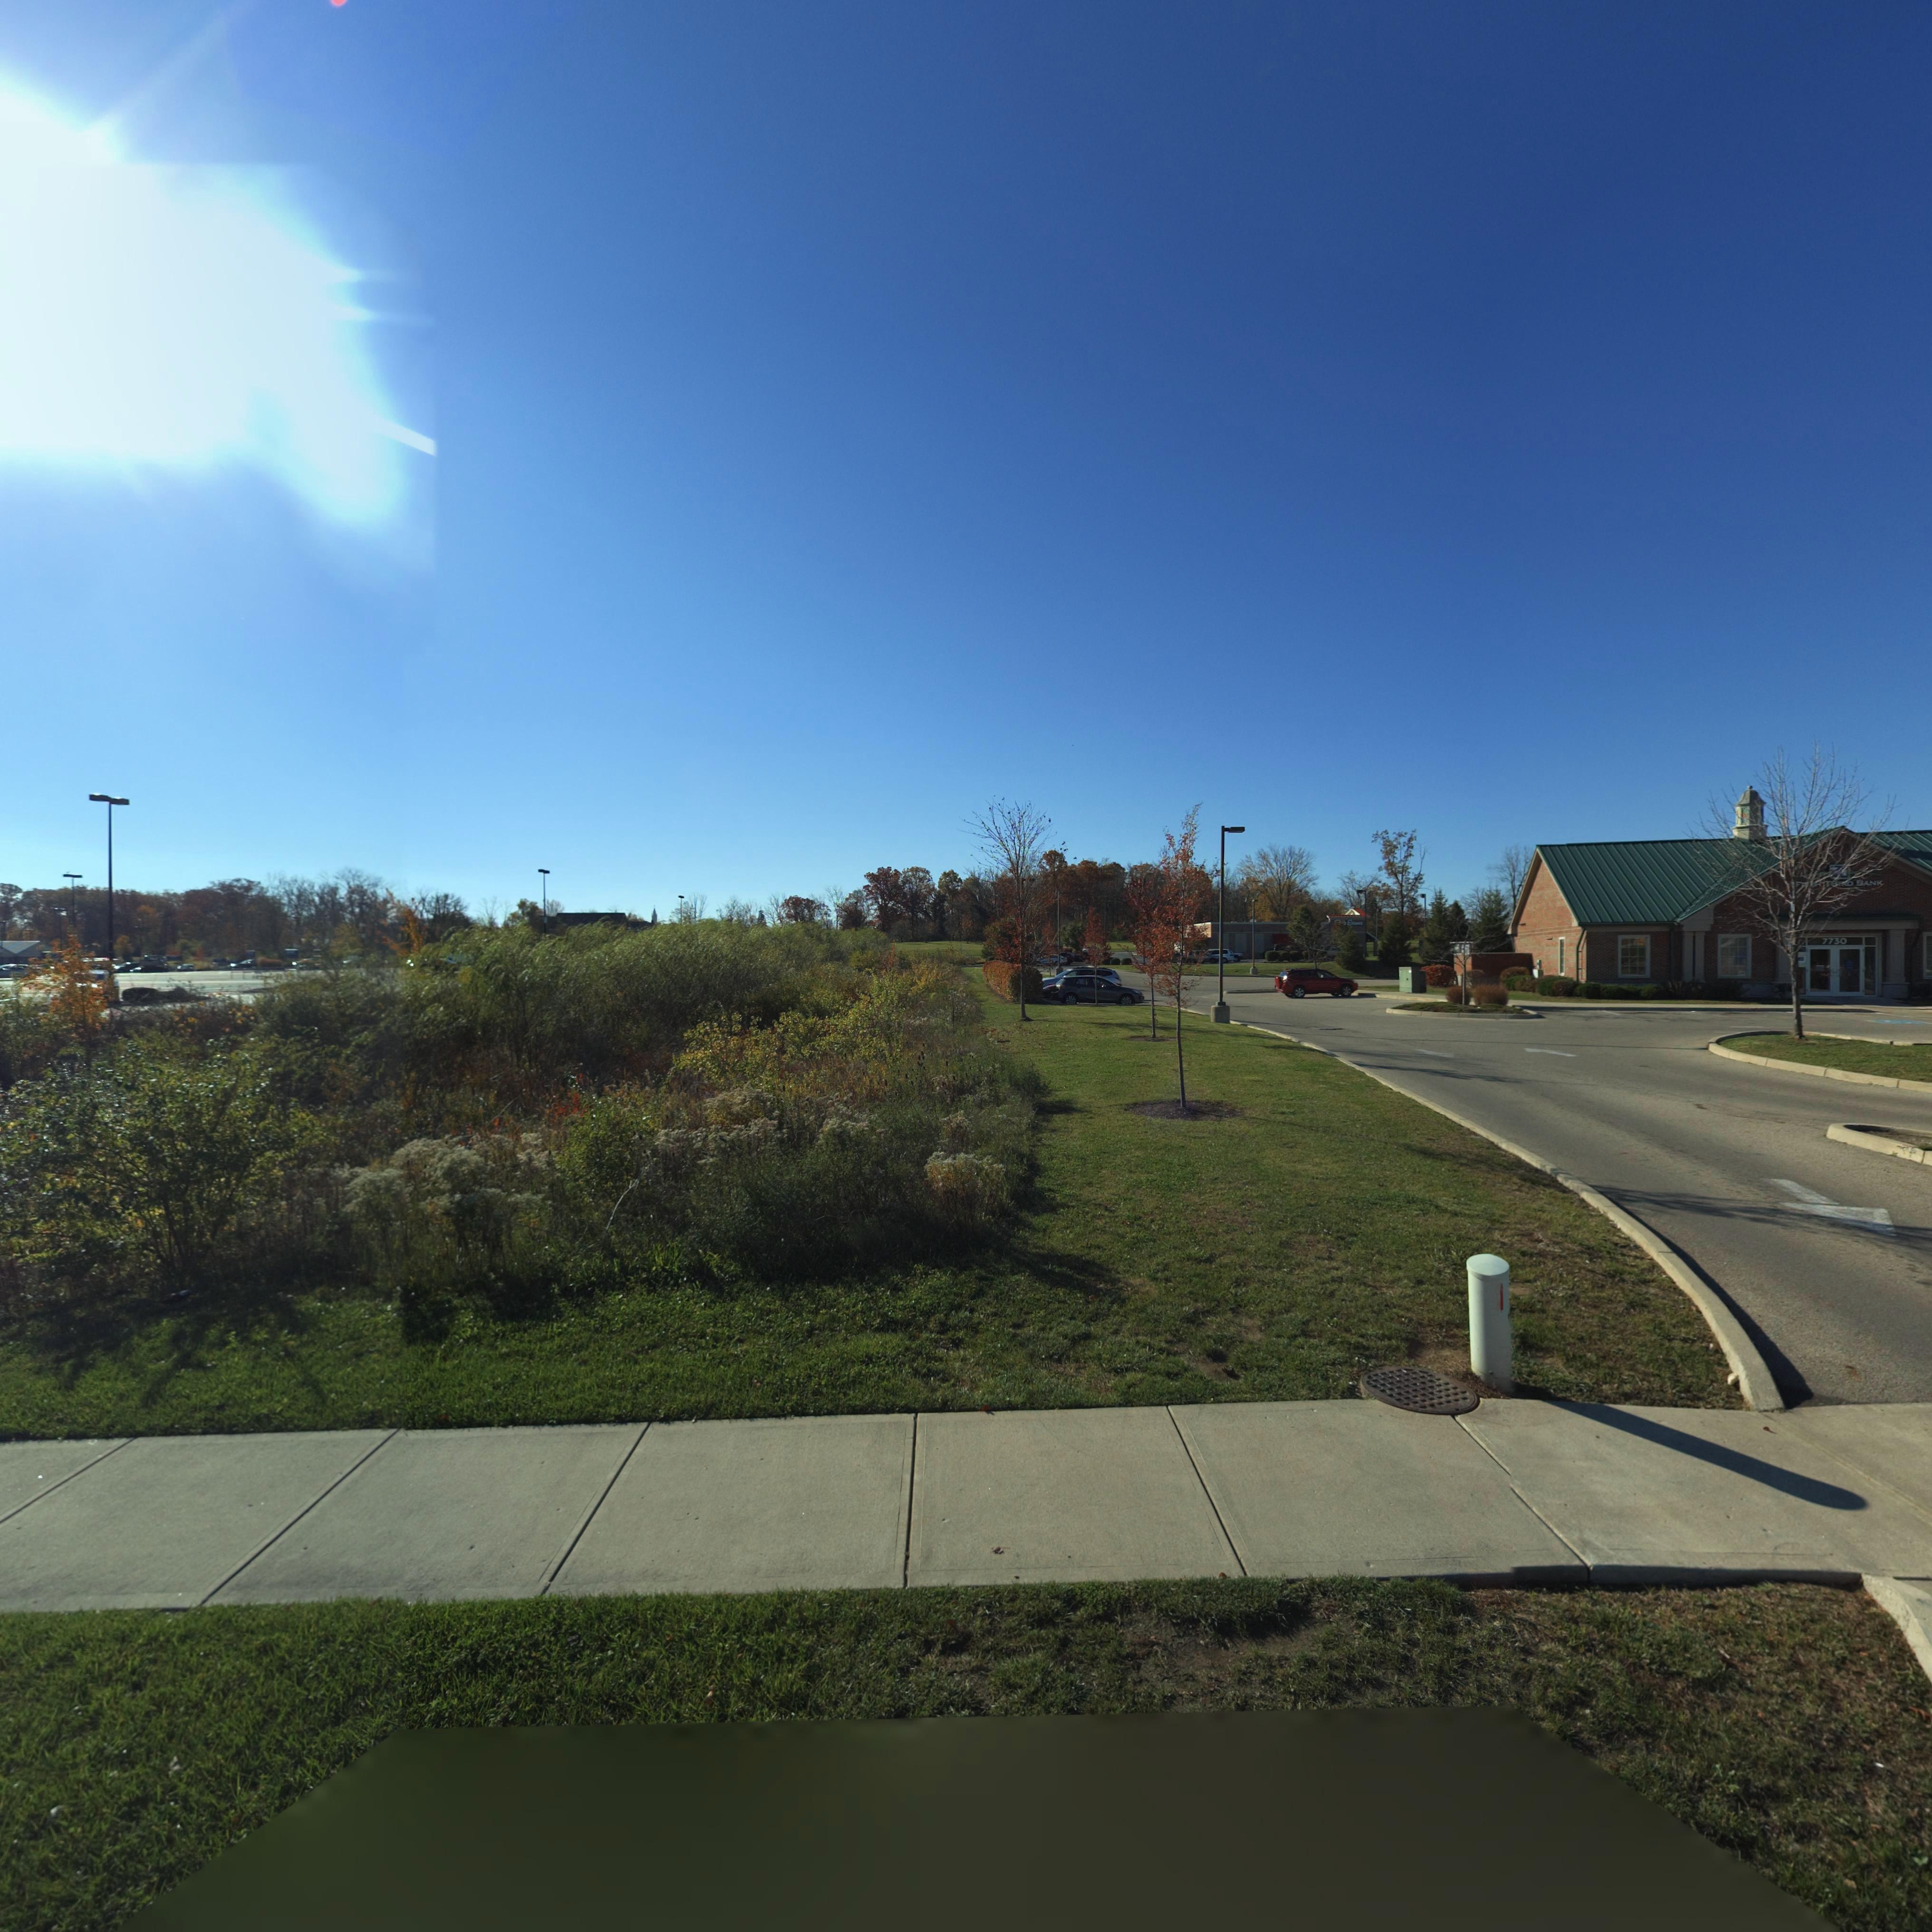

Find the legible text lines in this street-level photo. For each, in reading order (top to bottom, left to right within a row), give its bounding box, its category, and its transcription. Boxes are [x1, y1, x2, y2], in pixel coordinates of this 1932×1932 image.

[1821, 937, 1848, 945] StreetNumber: 7730